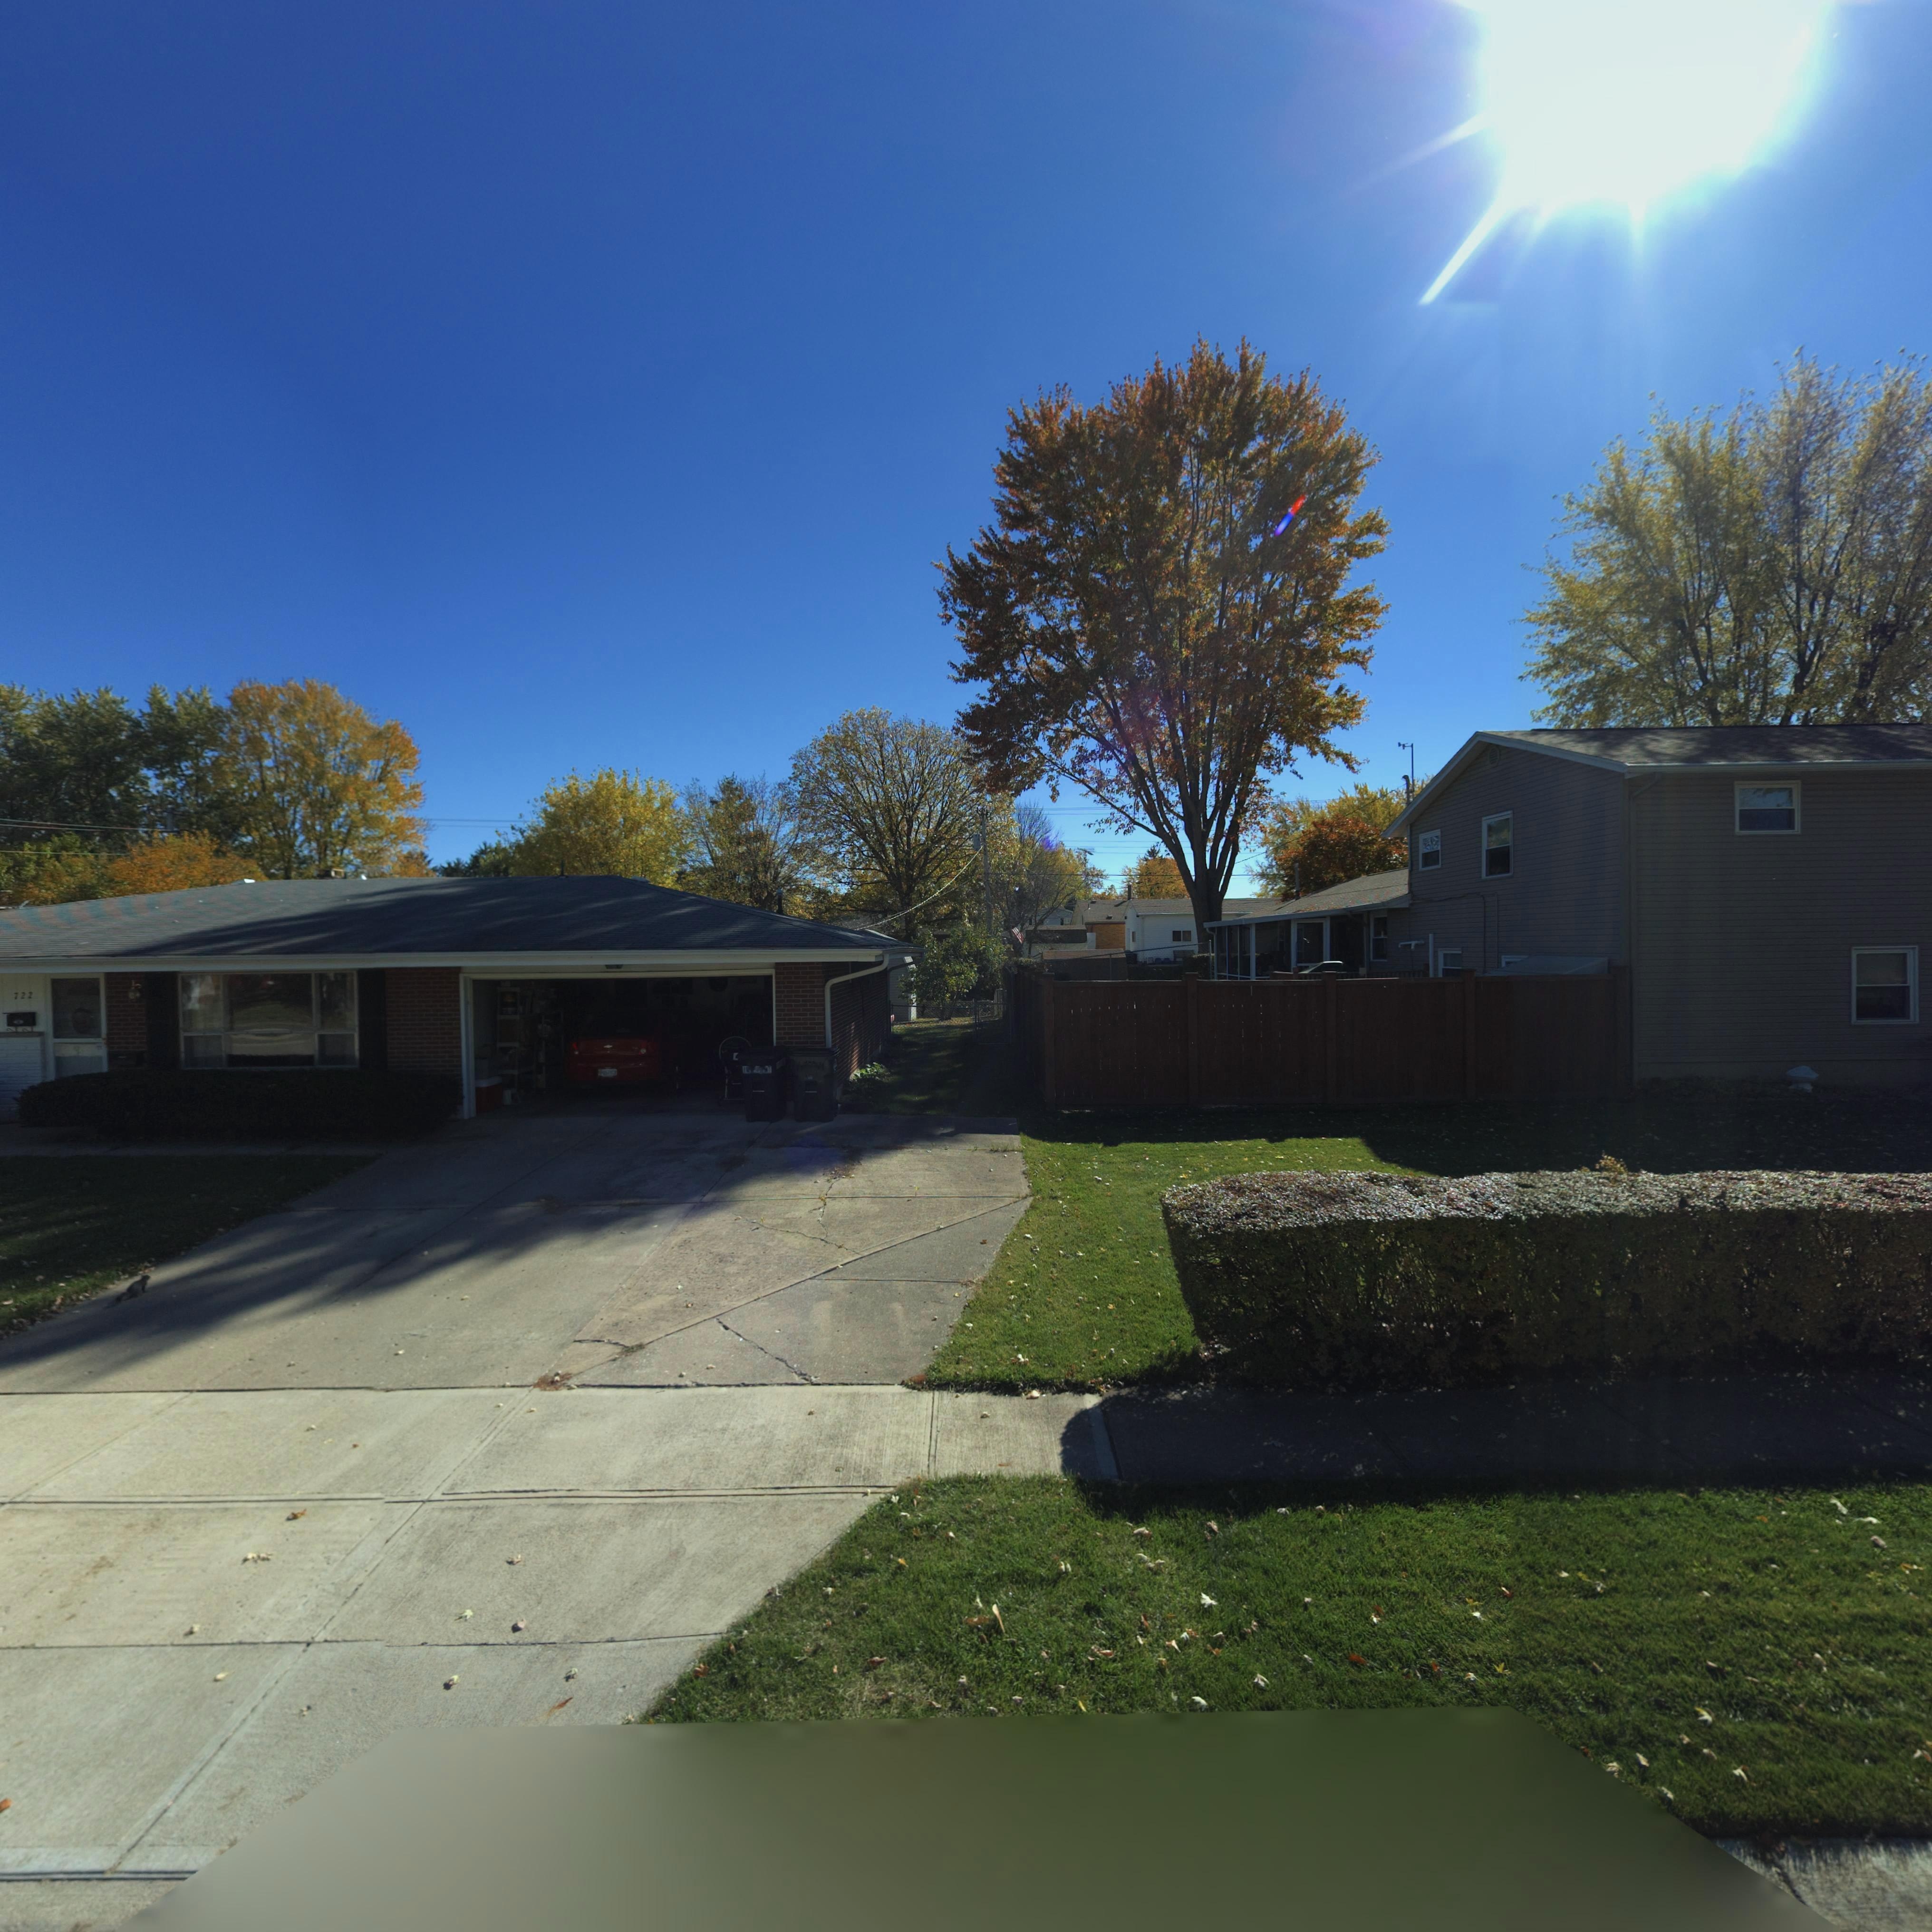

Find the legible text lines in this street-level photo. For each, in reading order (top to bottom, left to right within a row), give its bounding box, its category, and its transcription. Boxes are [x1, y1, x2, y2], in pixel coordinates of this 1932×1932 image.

[13, 990, 35, 1001] StreetNumber: 722